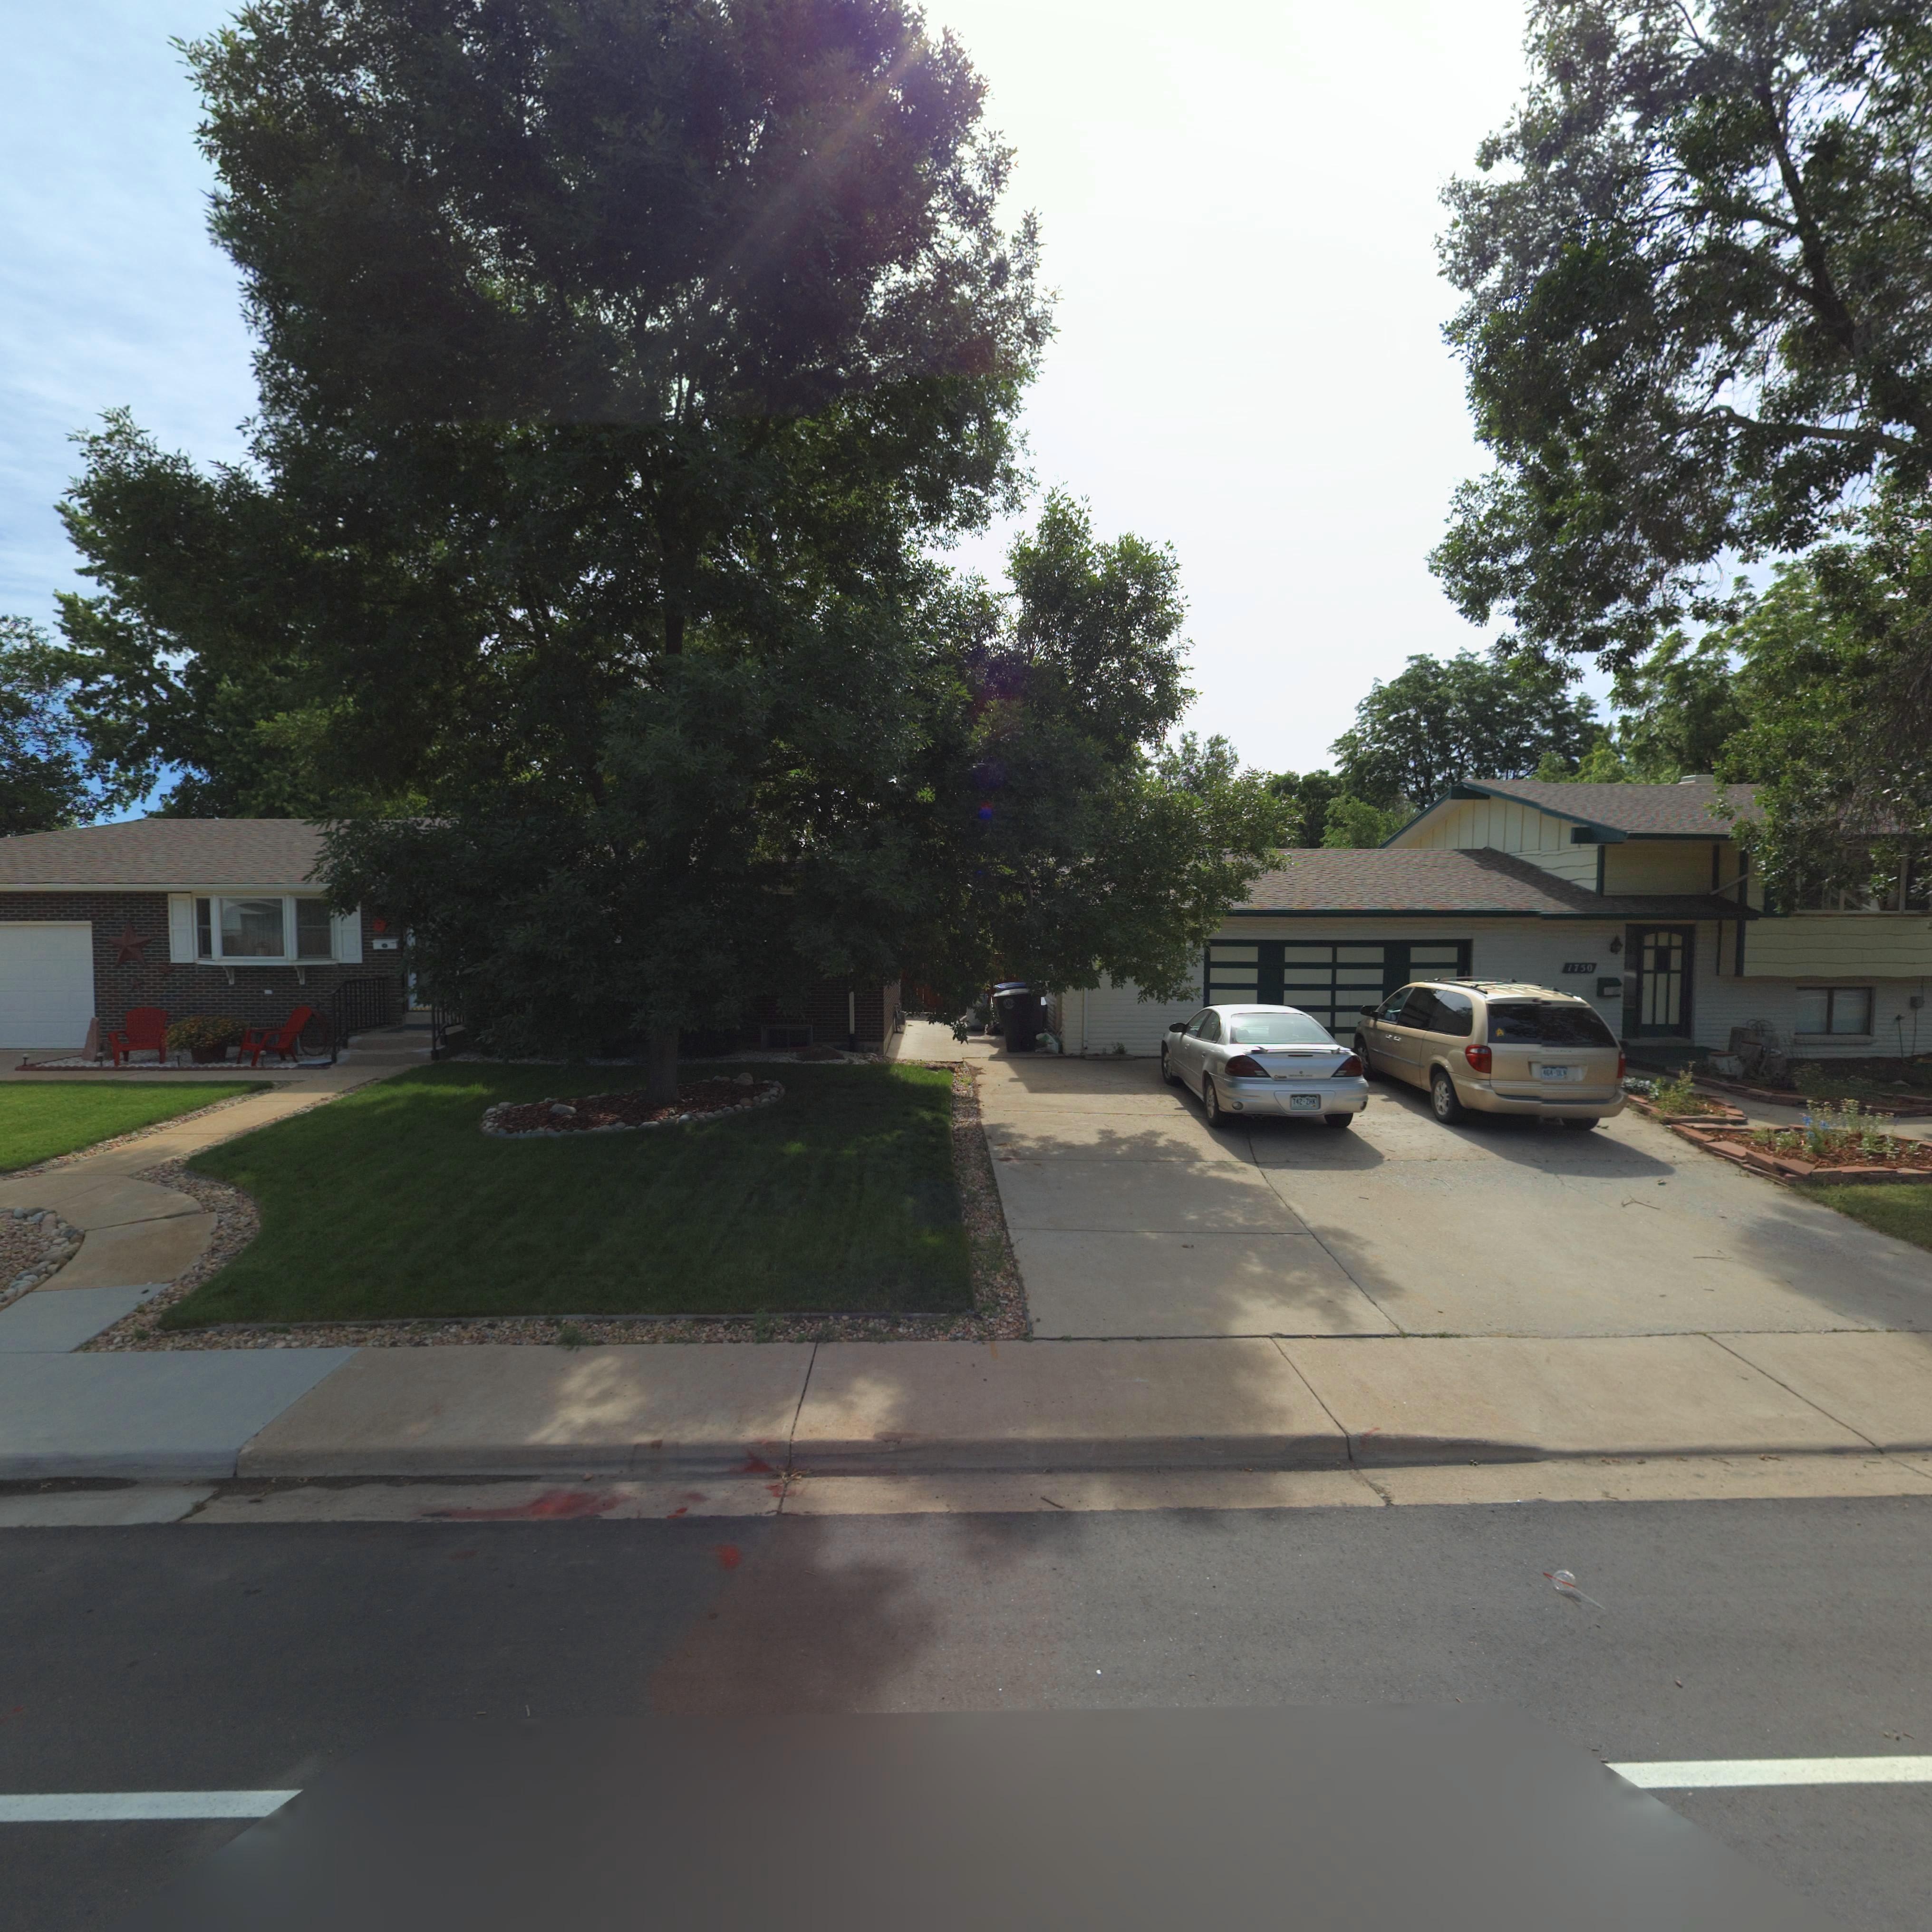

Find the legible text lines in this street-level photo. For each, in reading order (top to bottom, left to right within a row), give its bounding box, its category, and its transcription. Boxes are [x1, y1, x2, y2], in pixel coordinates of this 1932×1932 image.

[1566, 964, 1593, 973] StreetNumber: 1750